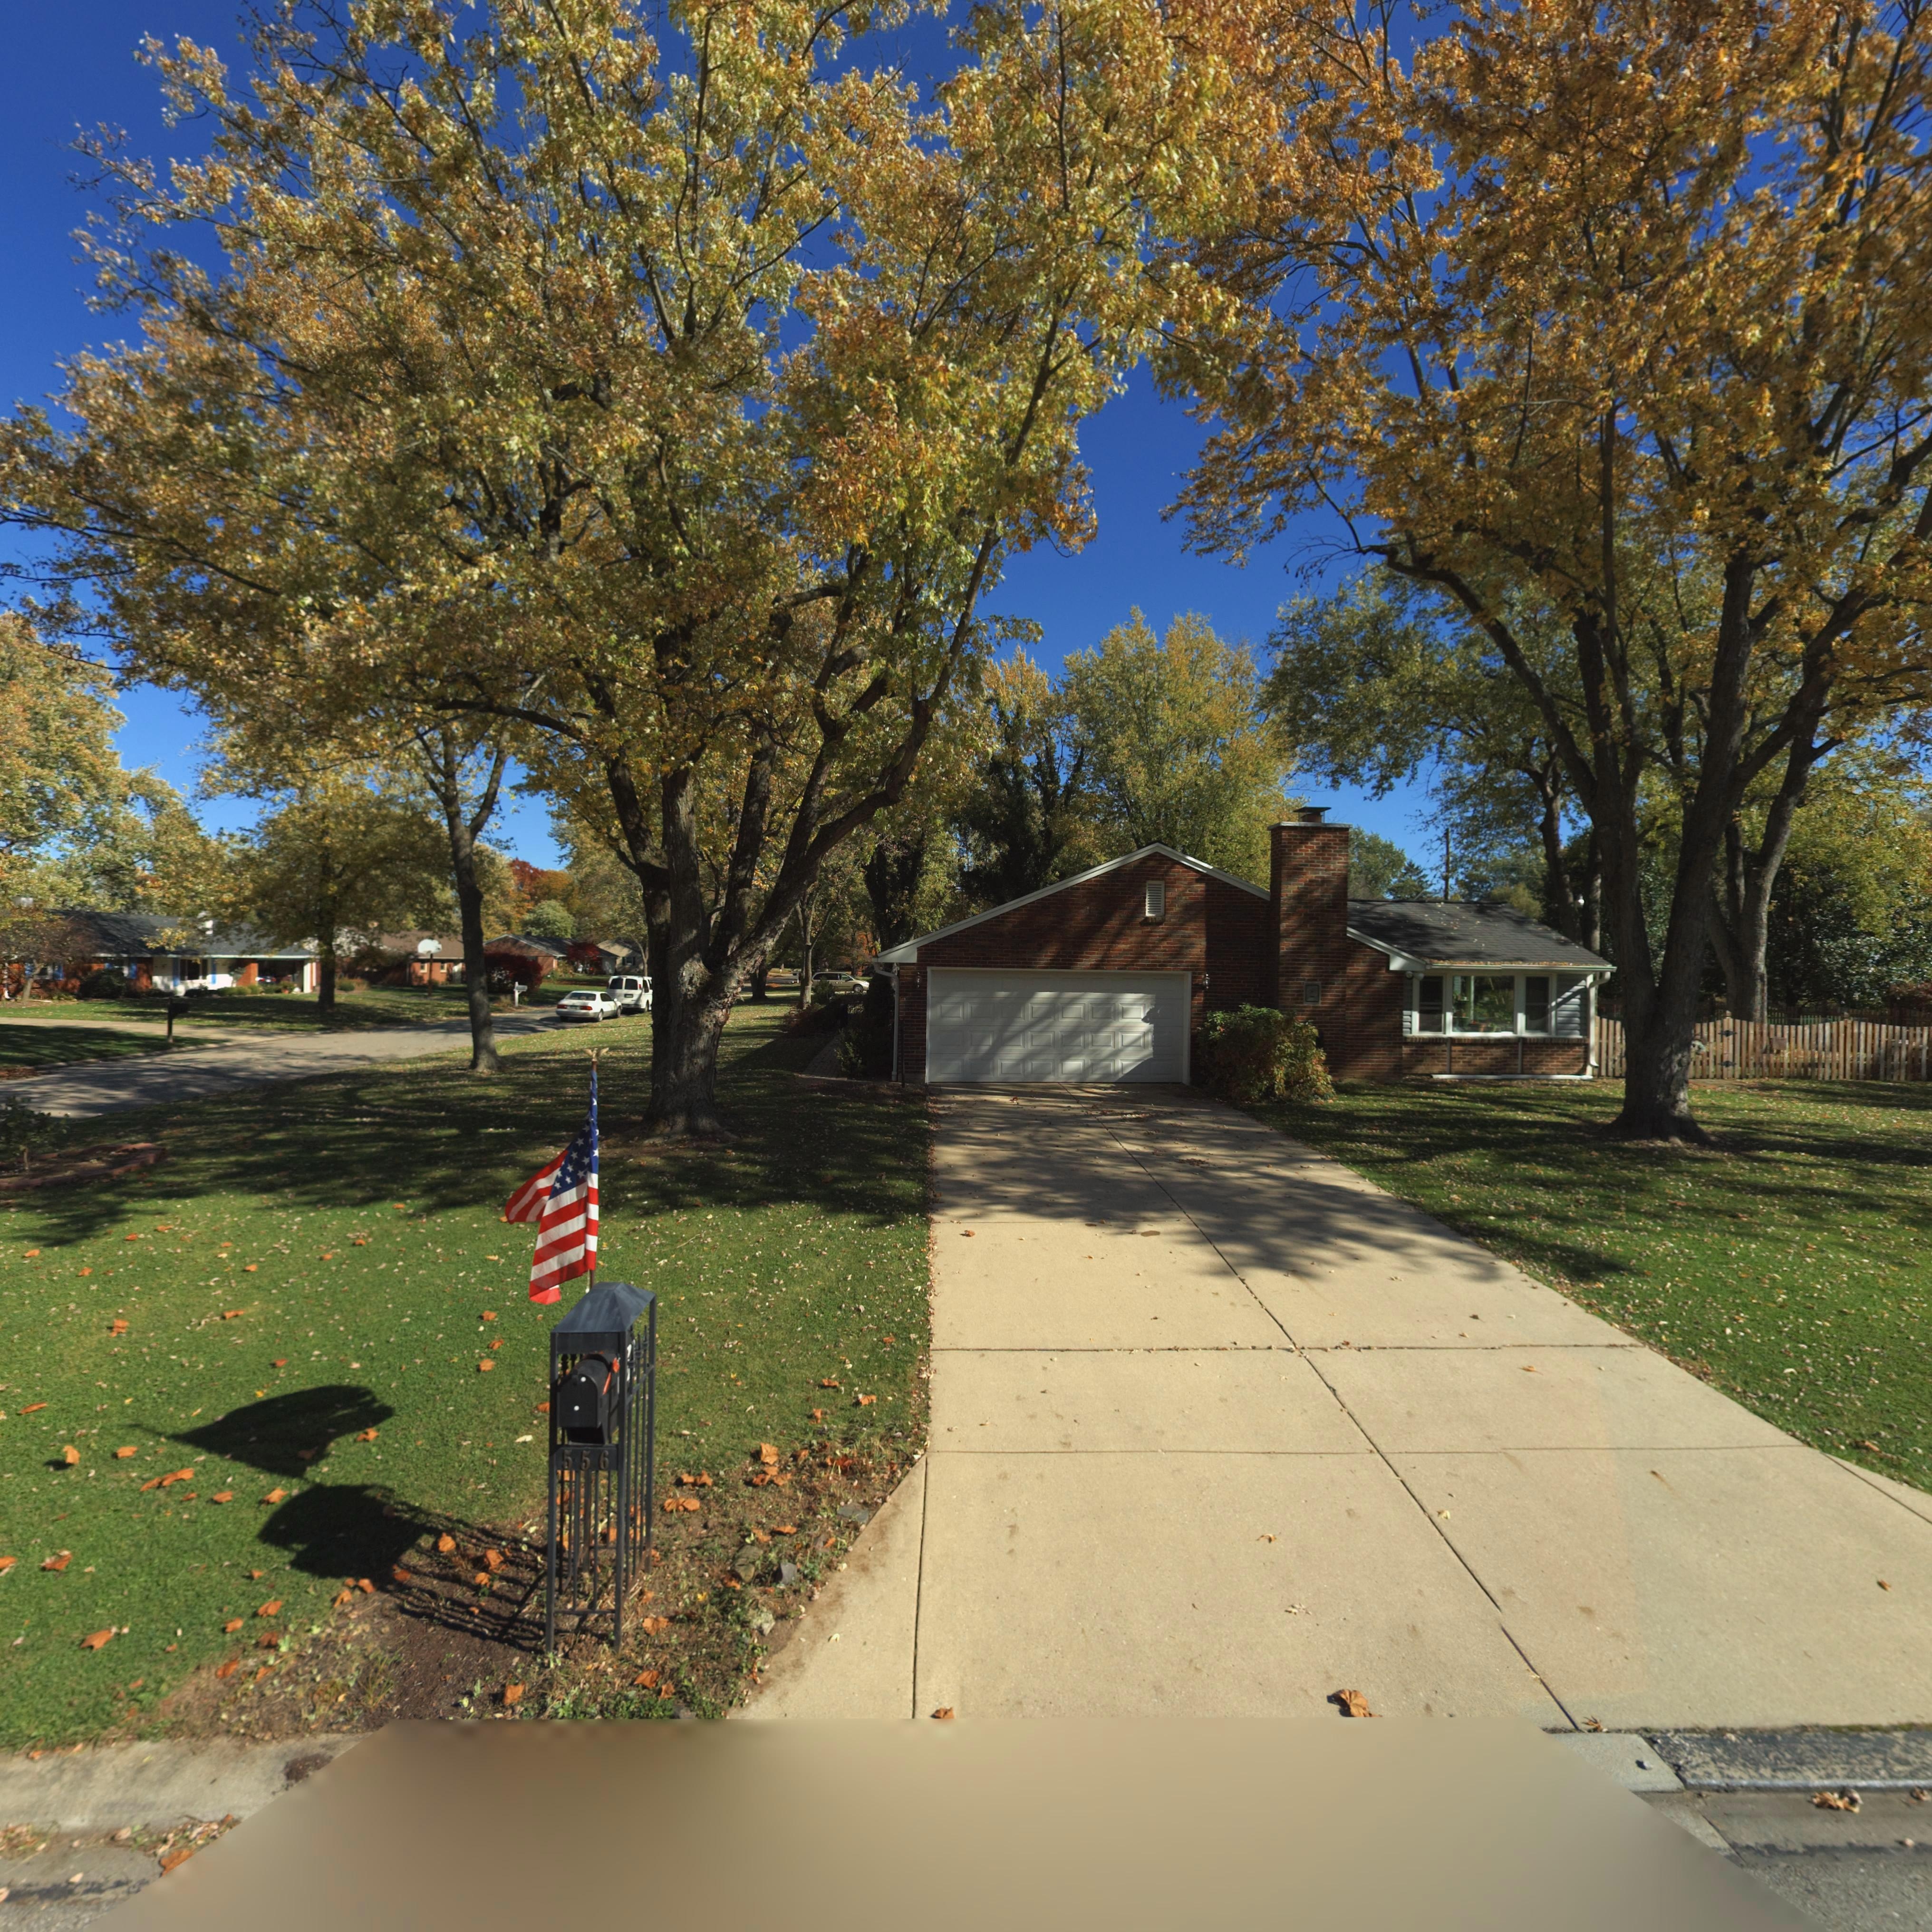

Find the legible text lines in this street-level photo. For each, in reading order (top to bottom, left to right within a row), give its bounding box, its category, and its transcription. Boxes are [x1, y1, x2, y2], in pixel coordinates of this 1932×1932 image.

[562, 1449, 609, 1470] StreetNumber: 556